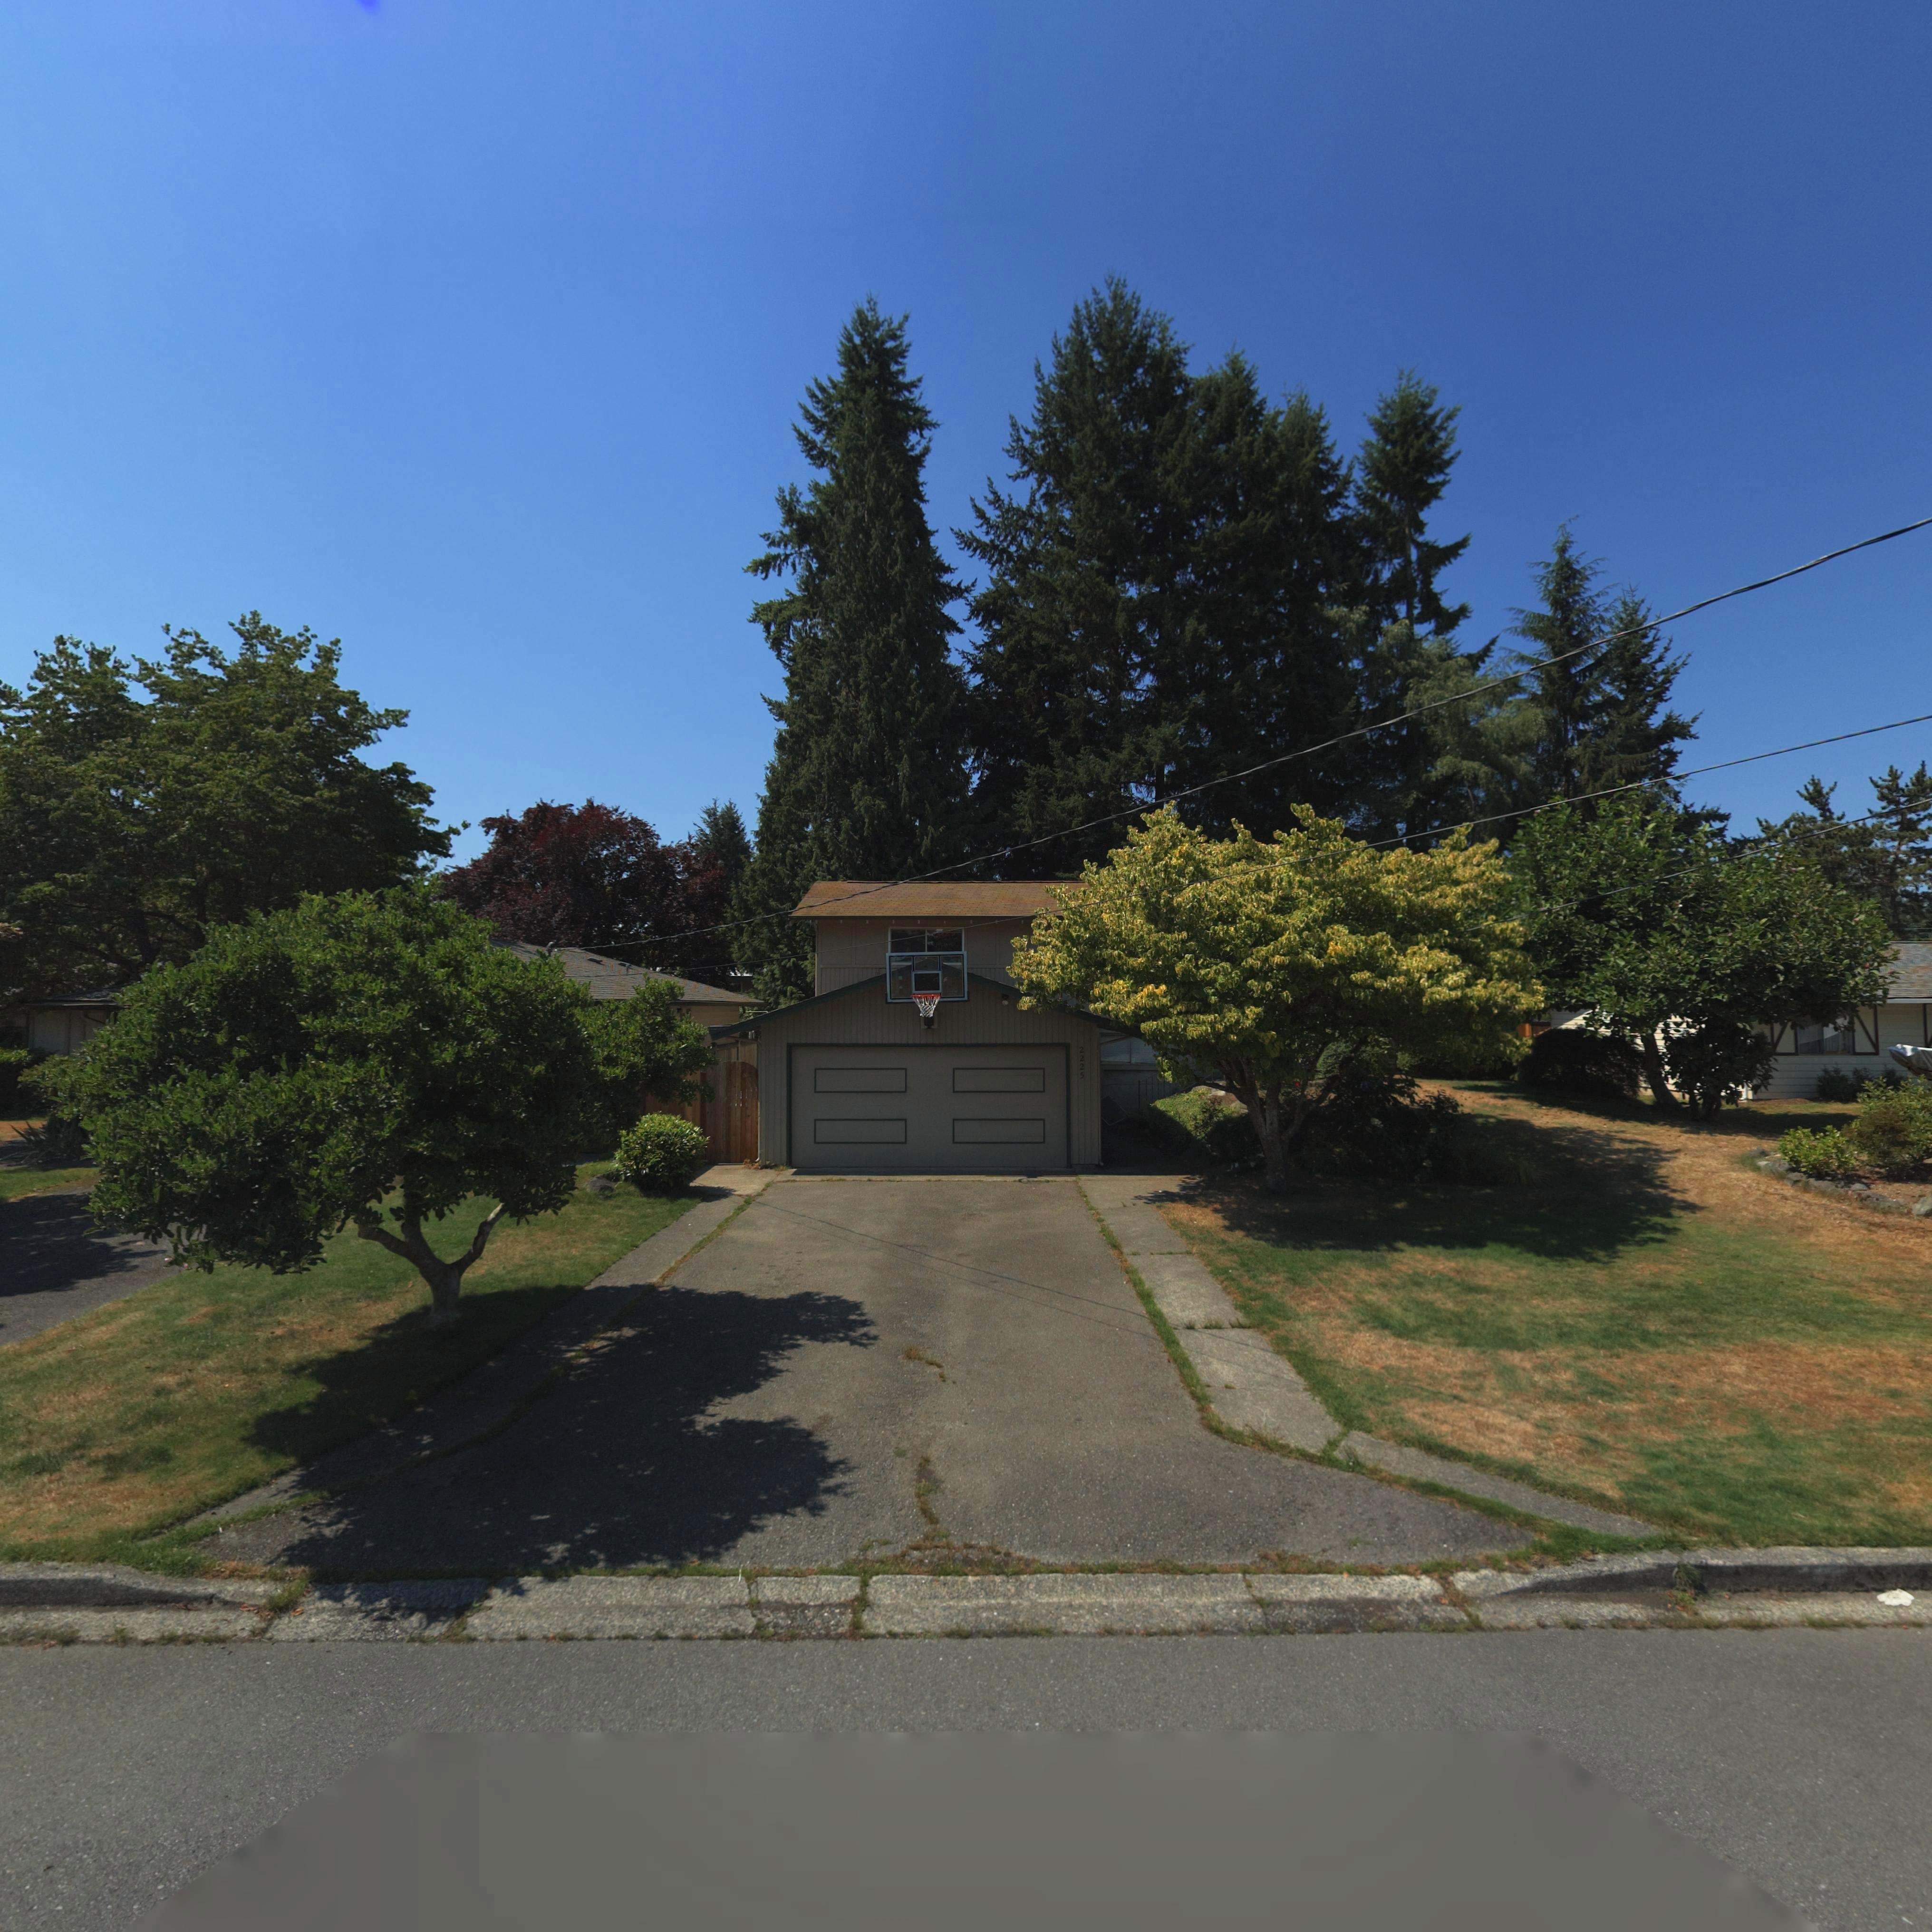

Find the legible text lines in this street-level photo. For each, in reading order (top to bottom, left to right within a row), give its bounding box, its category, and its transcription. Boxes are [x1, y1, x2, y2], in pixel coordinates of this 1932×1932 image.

[1078, 1046, 1085, 1080] StreetNumber: 2225